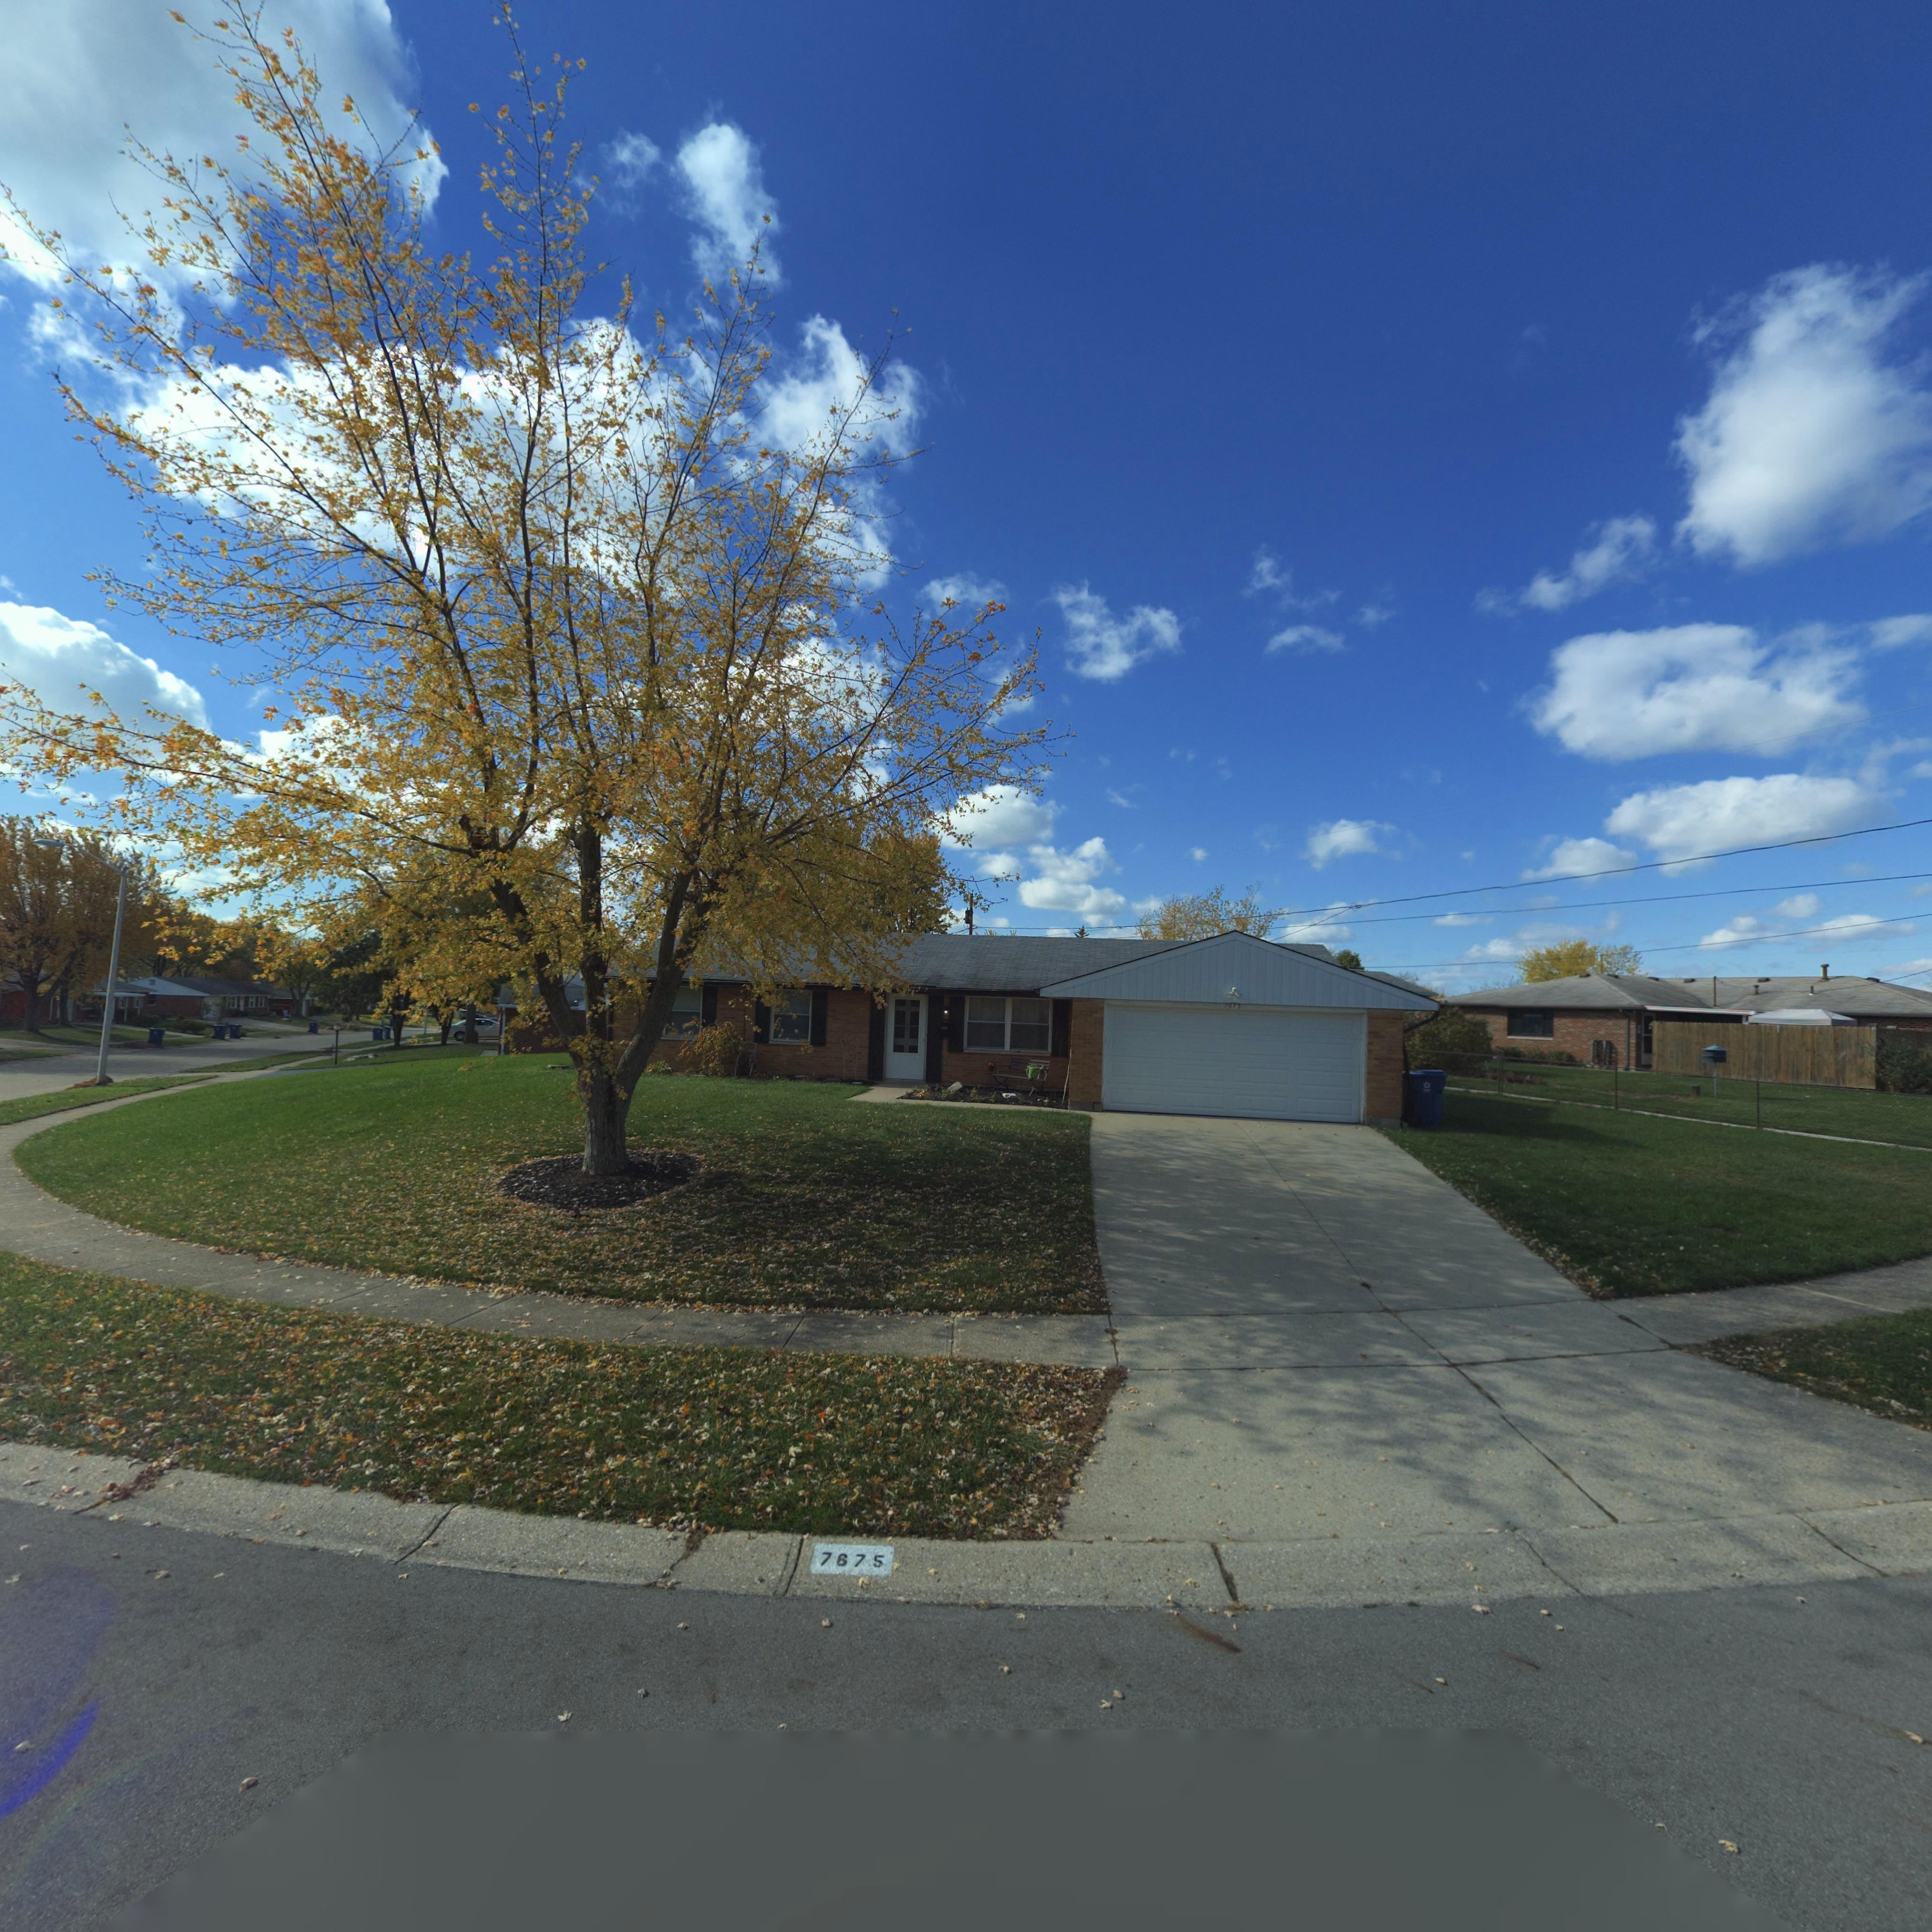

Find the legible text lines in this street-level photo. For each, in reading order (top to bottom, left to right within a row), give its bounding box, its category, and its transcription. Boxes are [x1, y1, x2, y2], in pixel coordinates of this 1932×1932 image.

[1223, 1003, 1242, 1009] StreetNumber: 7675
[820, 1551, 885, 1568] StreetNumber: 7675